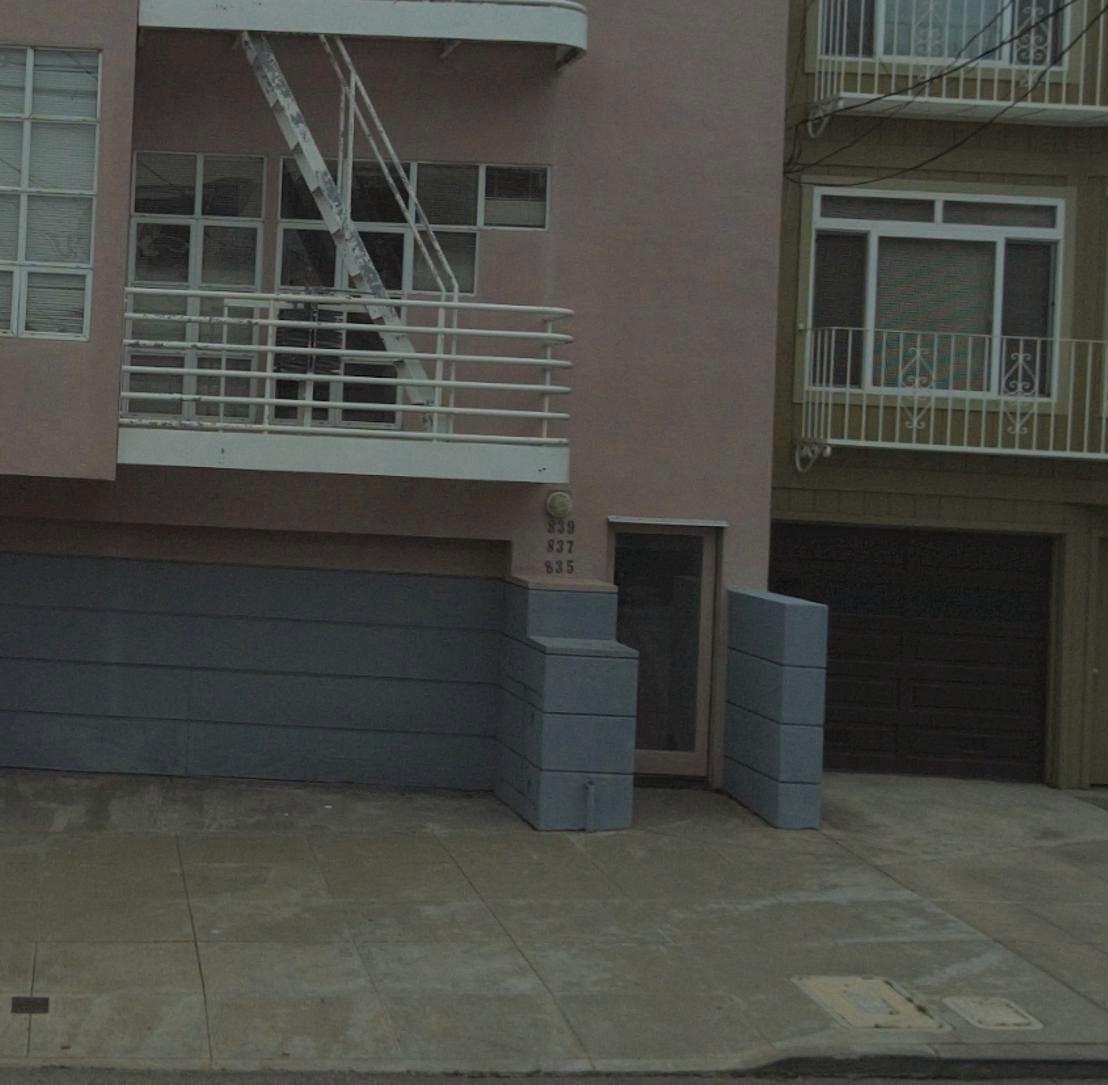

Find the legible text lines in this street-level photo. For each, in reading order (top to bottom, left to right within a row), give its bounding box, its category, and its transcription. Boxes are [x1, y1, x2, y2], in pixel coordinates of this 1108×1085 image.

[546, 518, 576, 535] StreetNumber: 839
[546, 538, 575, 554] StreetNumber: 837
[543, 560, 575, 574] StreetNumber: 835